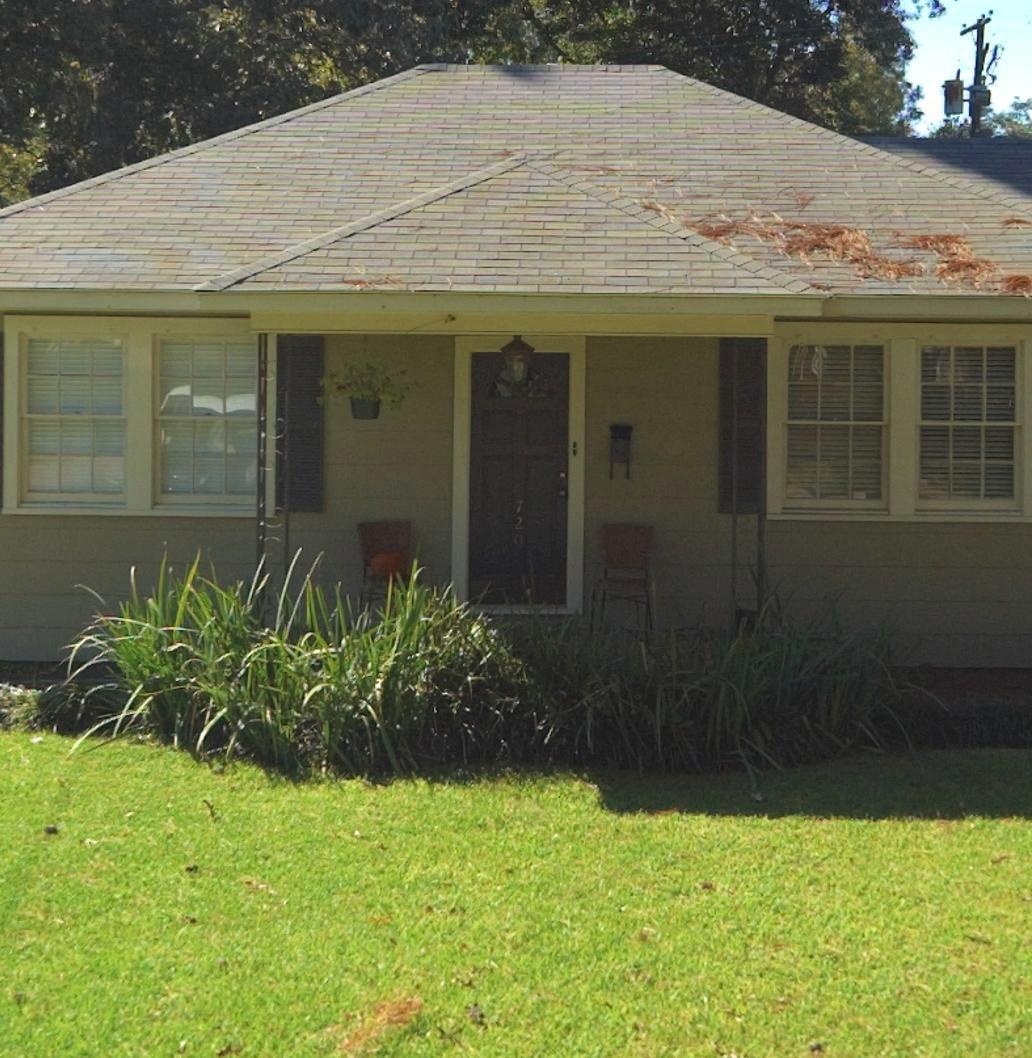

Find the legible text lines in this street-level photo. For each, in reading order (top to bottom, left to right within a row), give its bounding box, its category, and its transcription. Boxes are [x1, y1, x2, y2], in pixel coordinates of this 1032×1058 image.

[512, 498, 525, 548] StreetNumber: 720